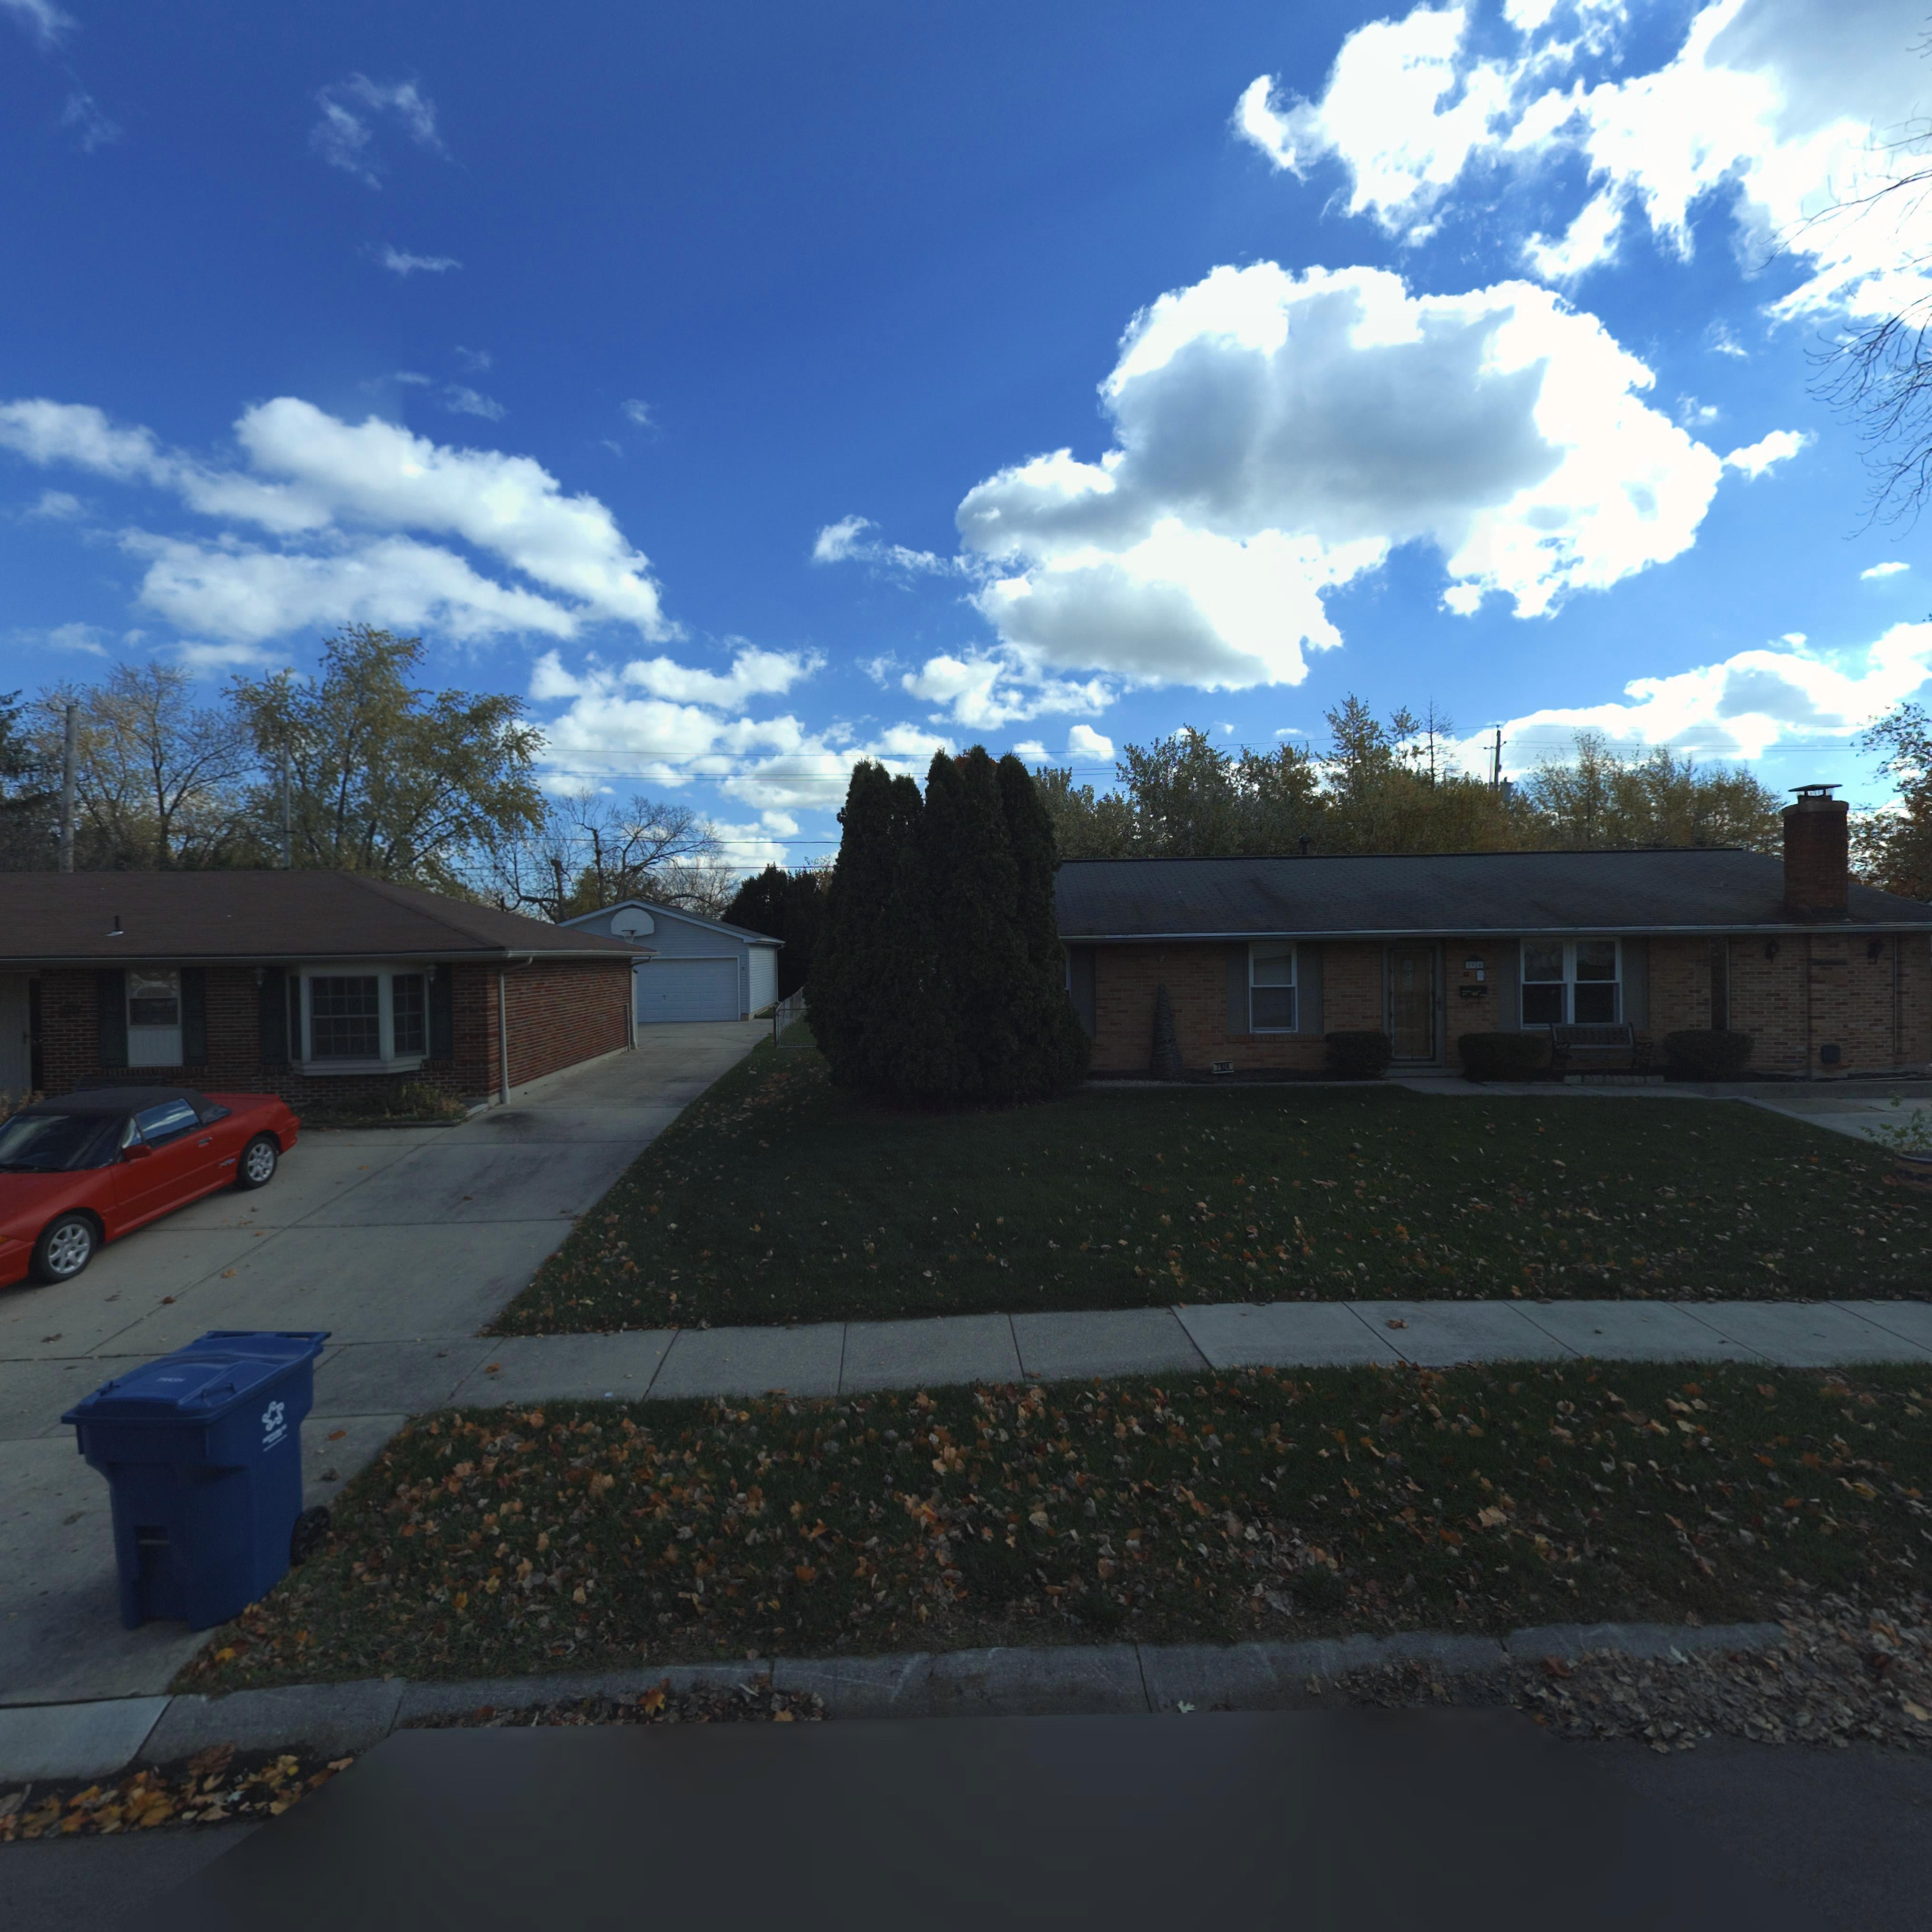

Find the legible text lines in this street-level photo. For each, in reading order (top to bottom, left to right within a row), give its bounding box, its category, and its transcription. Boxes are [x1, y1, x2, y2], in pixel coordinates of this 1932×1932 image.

[1467, 961, 1481, 967] StreetNumber: 7924
[1215, 1062, 1230, 1071] StreetNumber: 7924